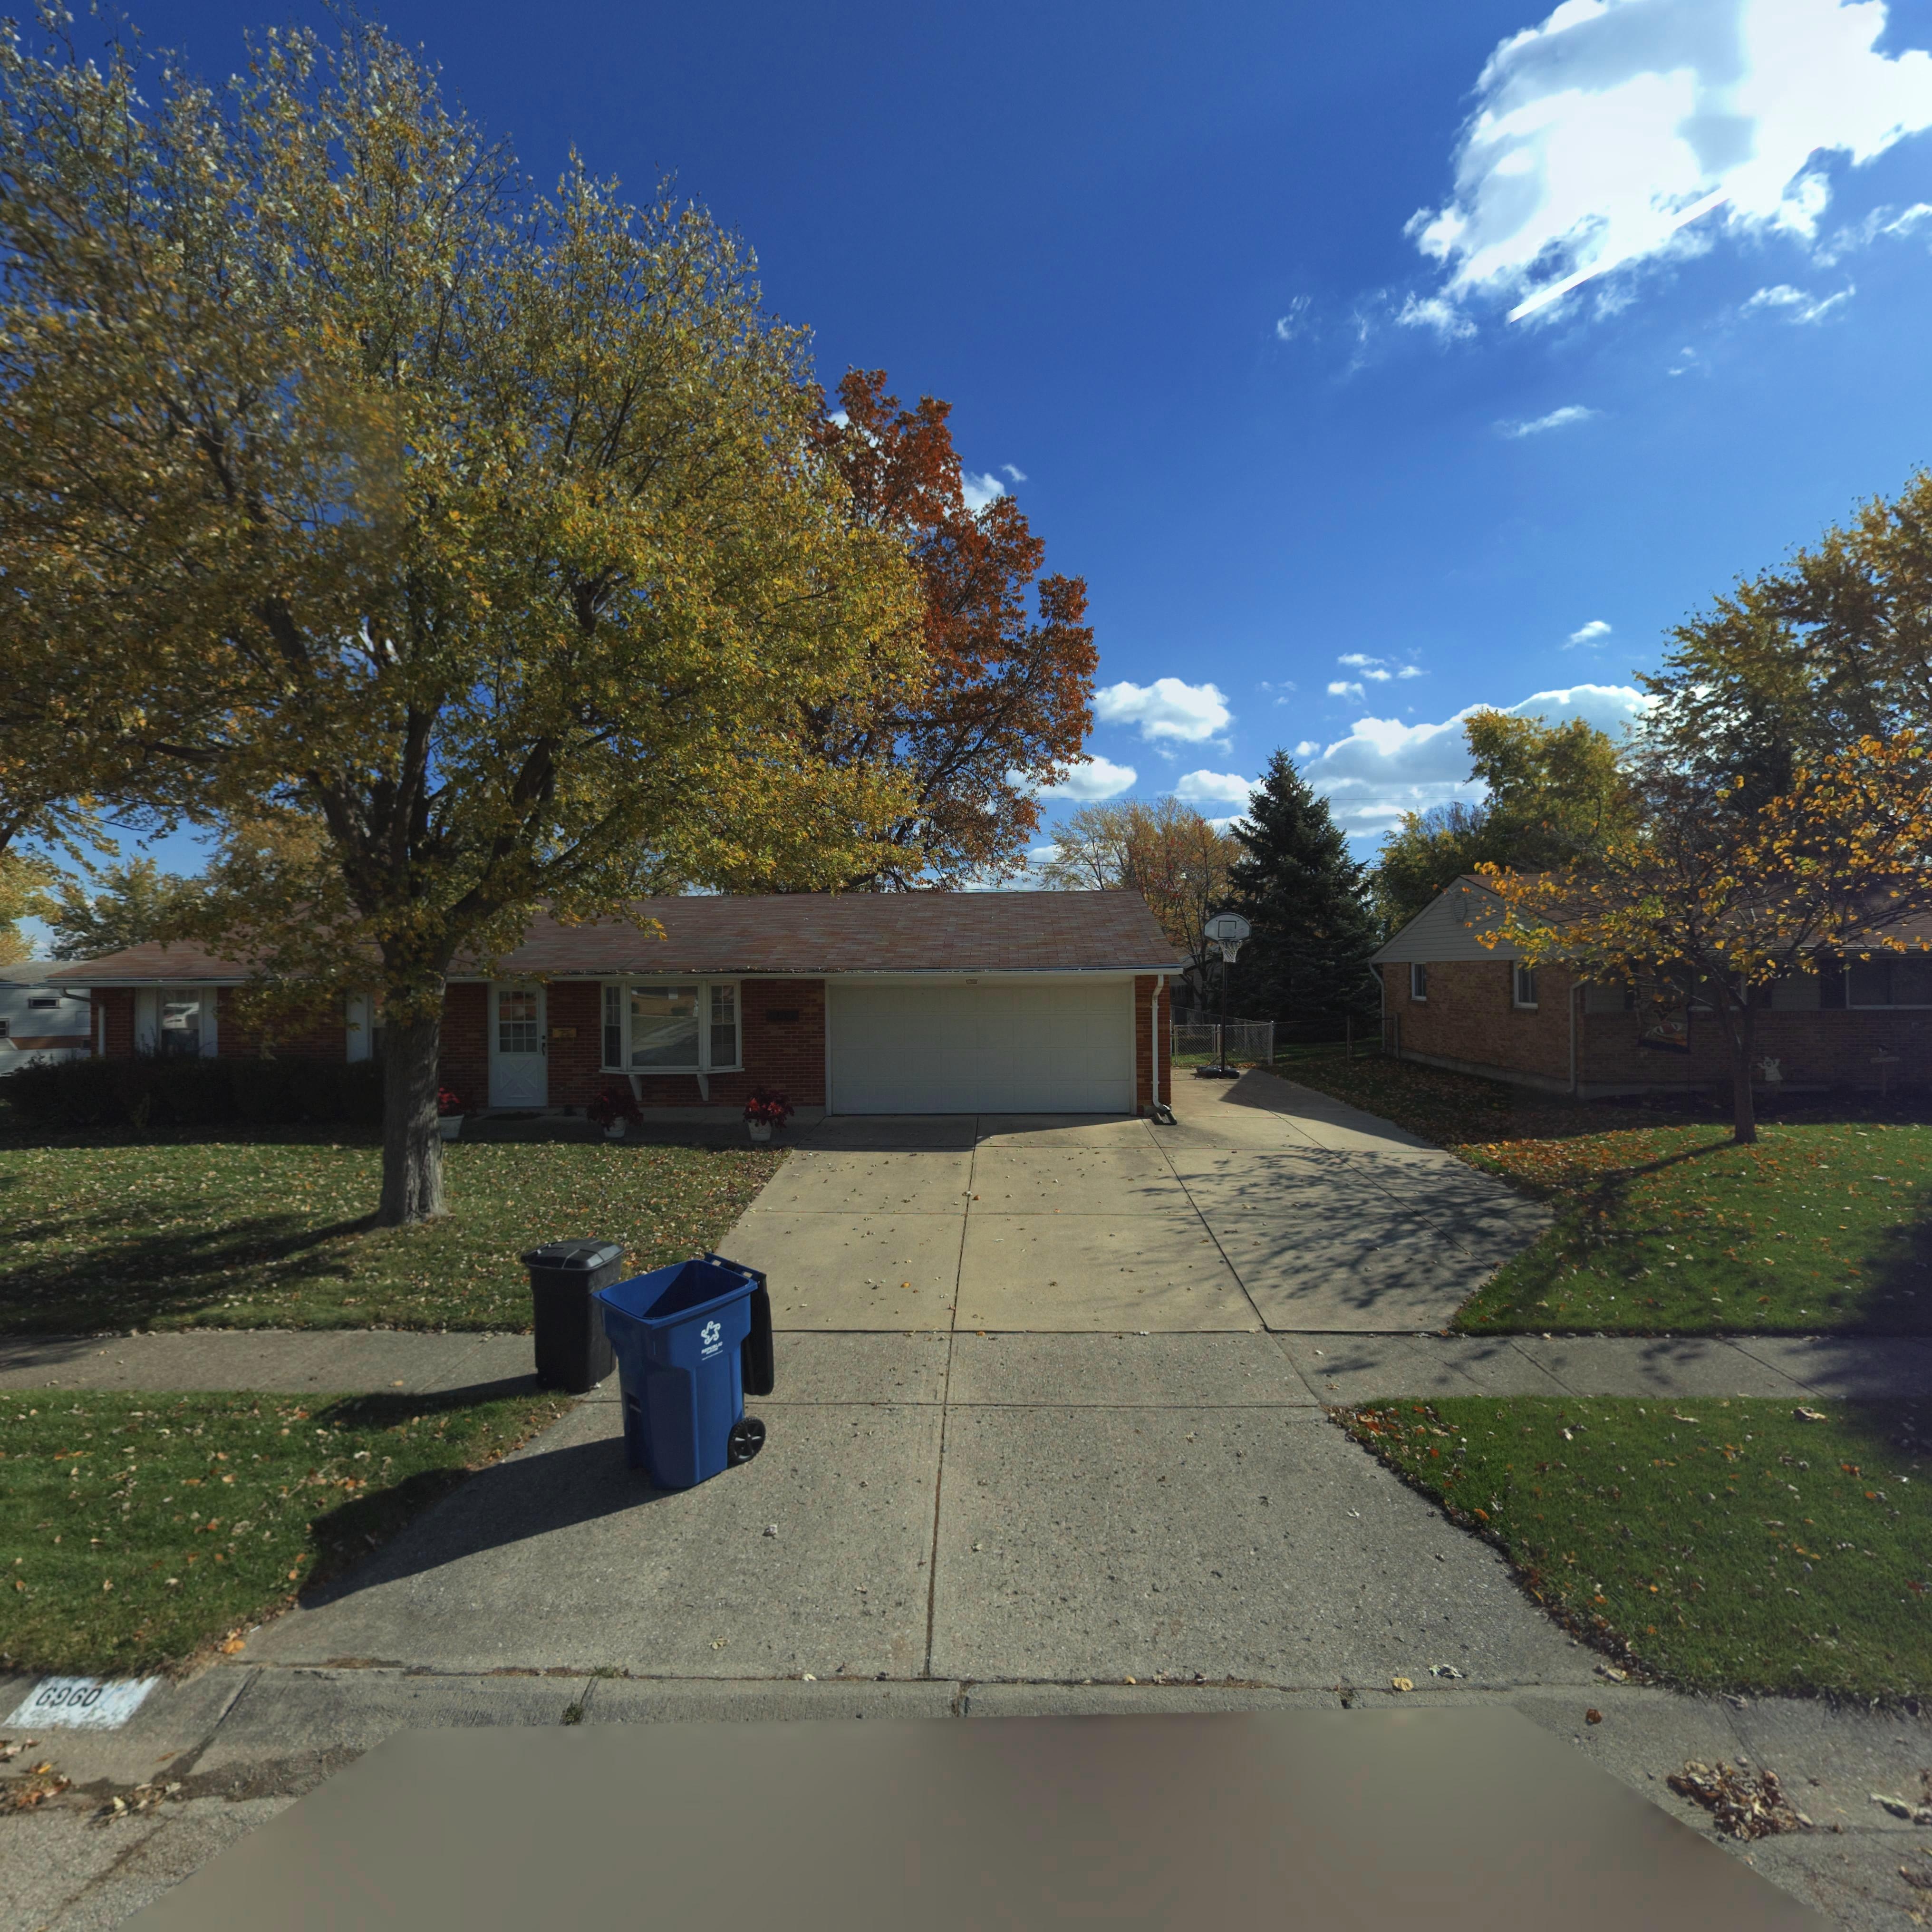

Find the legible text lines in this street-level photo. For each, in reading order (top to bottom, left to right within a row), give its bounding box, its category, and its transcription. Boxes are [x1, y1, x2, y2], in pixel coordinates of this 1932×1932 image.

[32, 1684, 105, 1710] StreetNumber: 6960